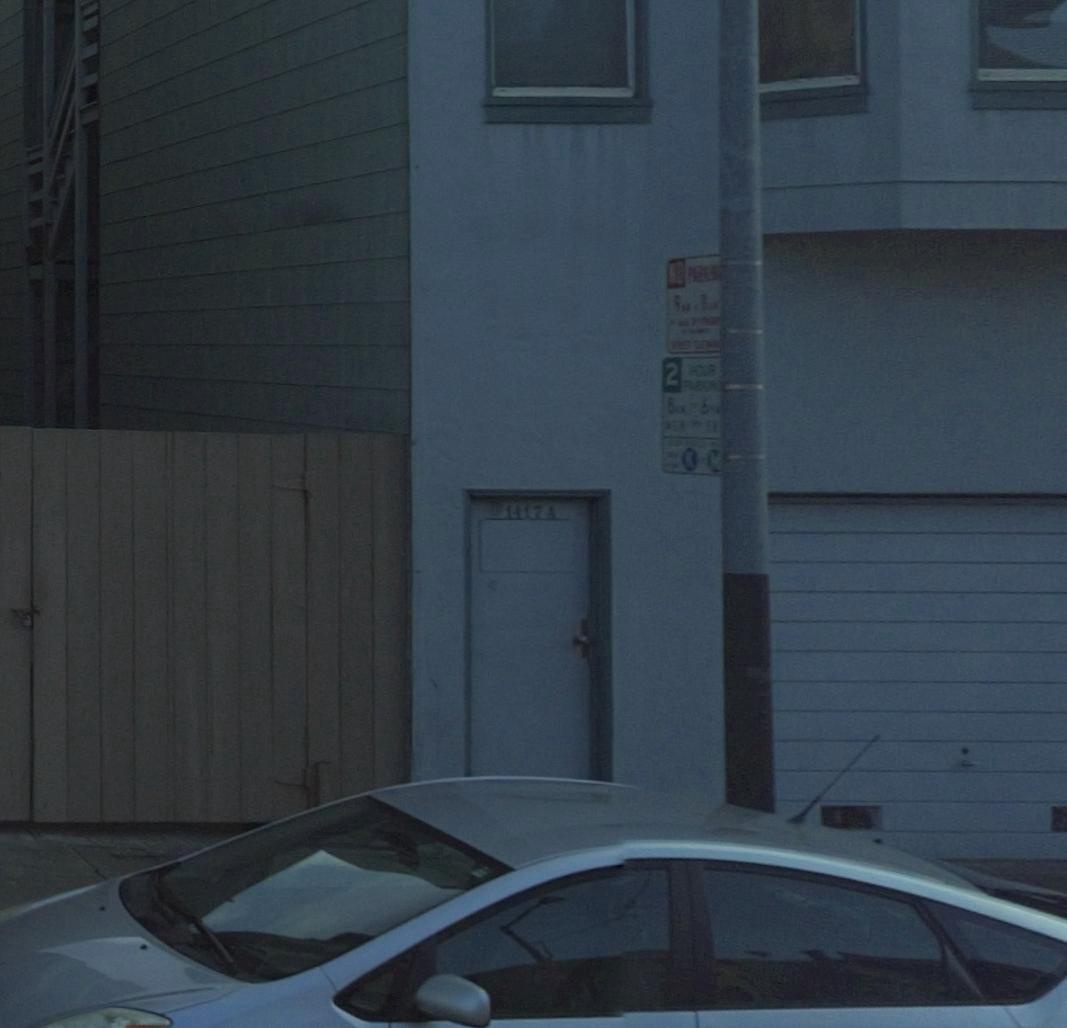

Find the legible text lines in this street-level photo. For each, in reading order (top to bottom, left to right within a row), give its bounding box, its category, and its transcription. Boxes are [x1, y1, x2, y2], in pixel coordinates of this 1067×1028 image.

[670, 291, 685, 314] None: 9
[662, 359, 682, 390] None: 2
[698, 393, 713, 419] None: 6
[502, 502, 560, 523] StreetNumber: 1417 A